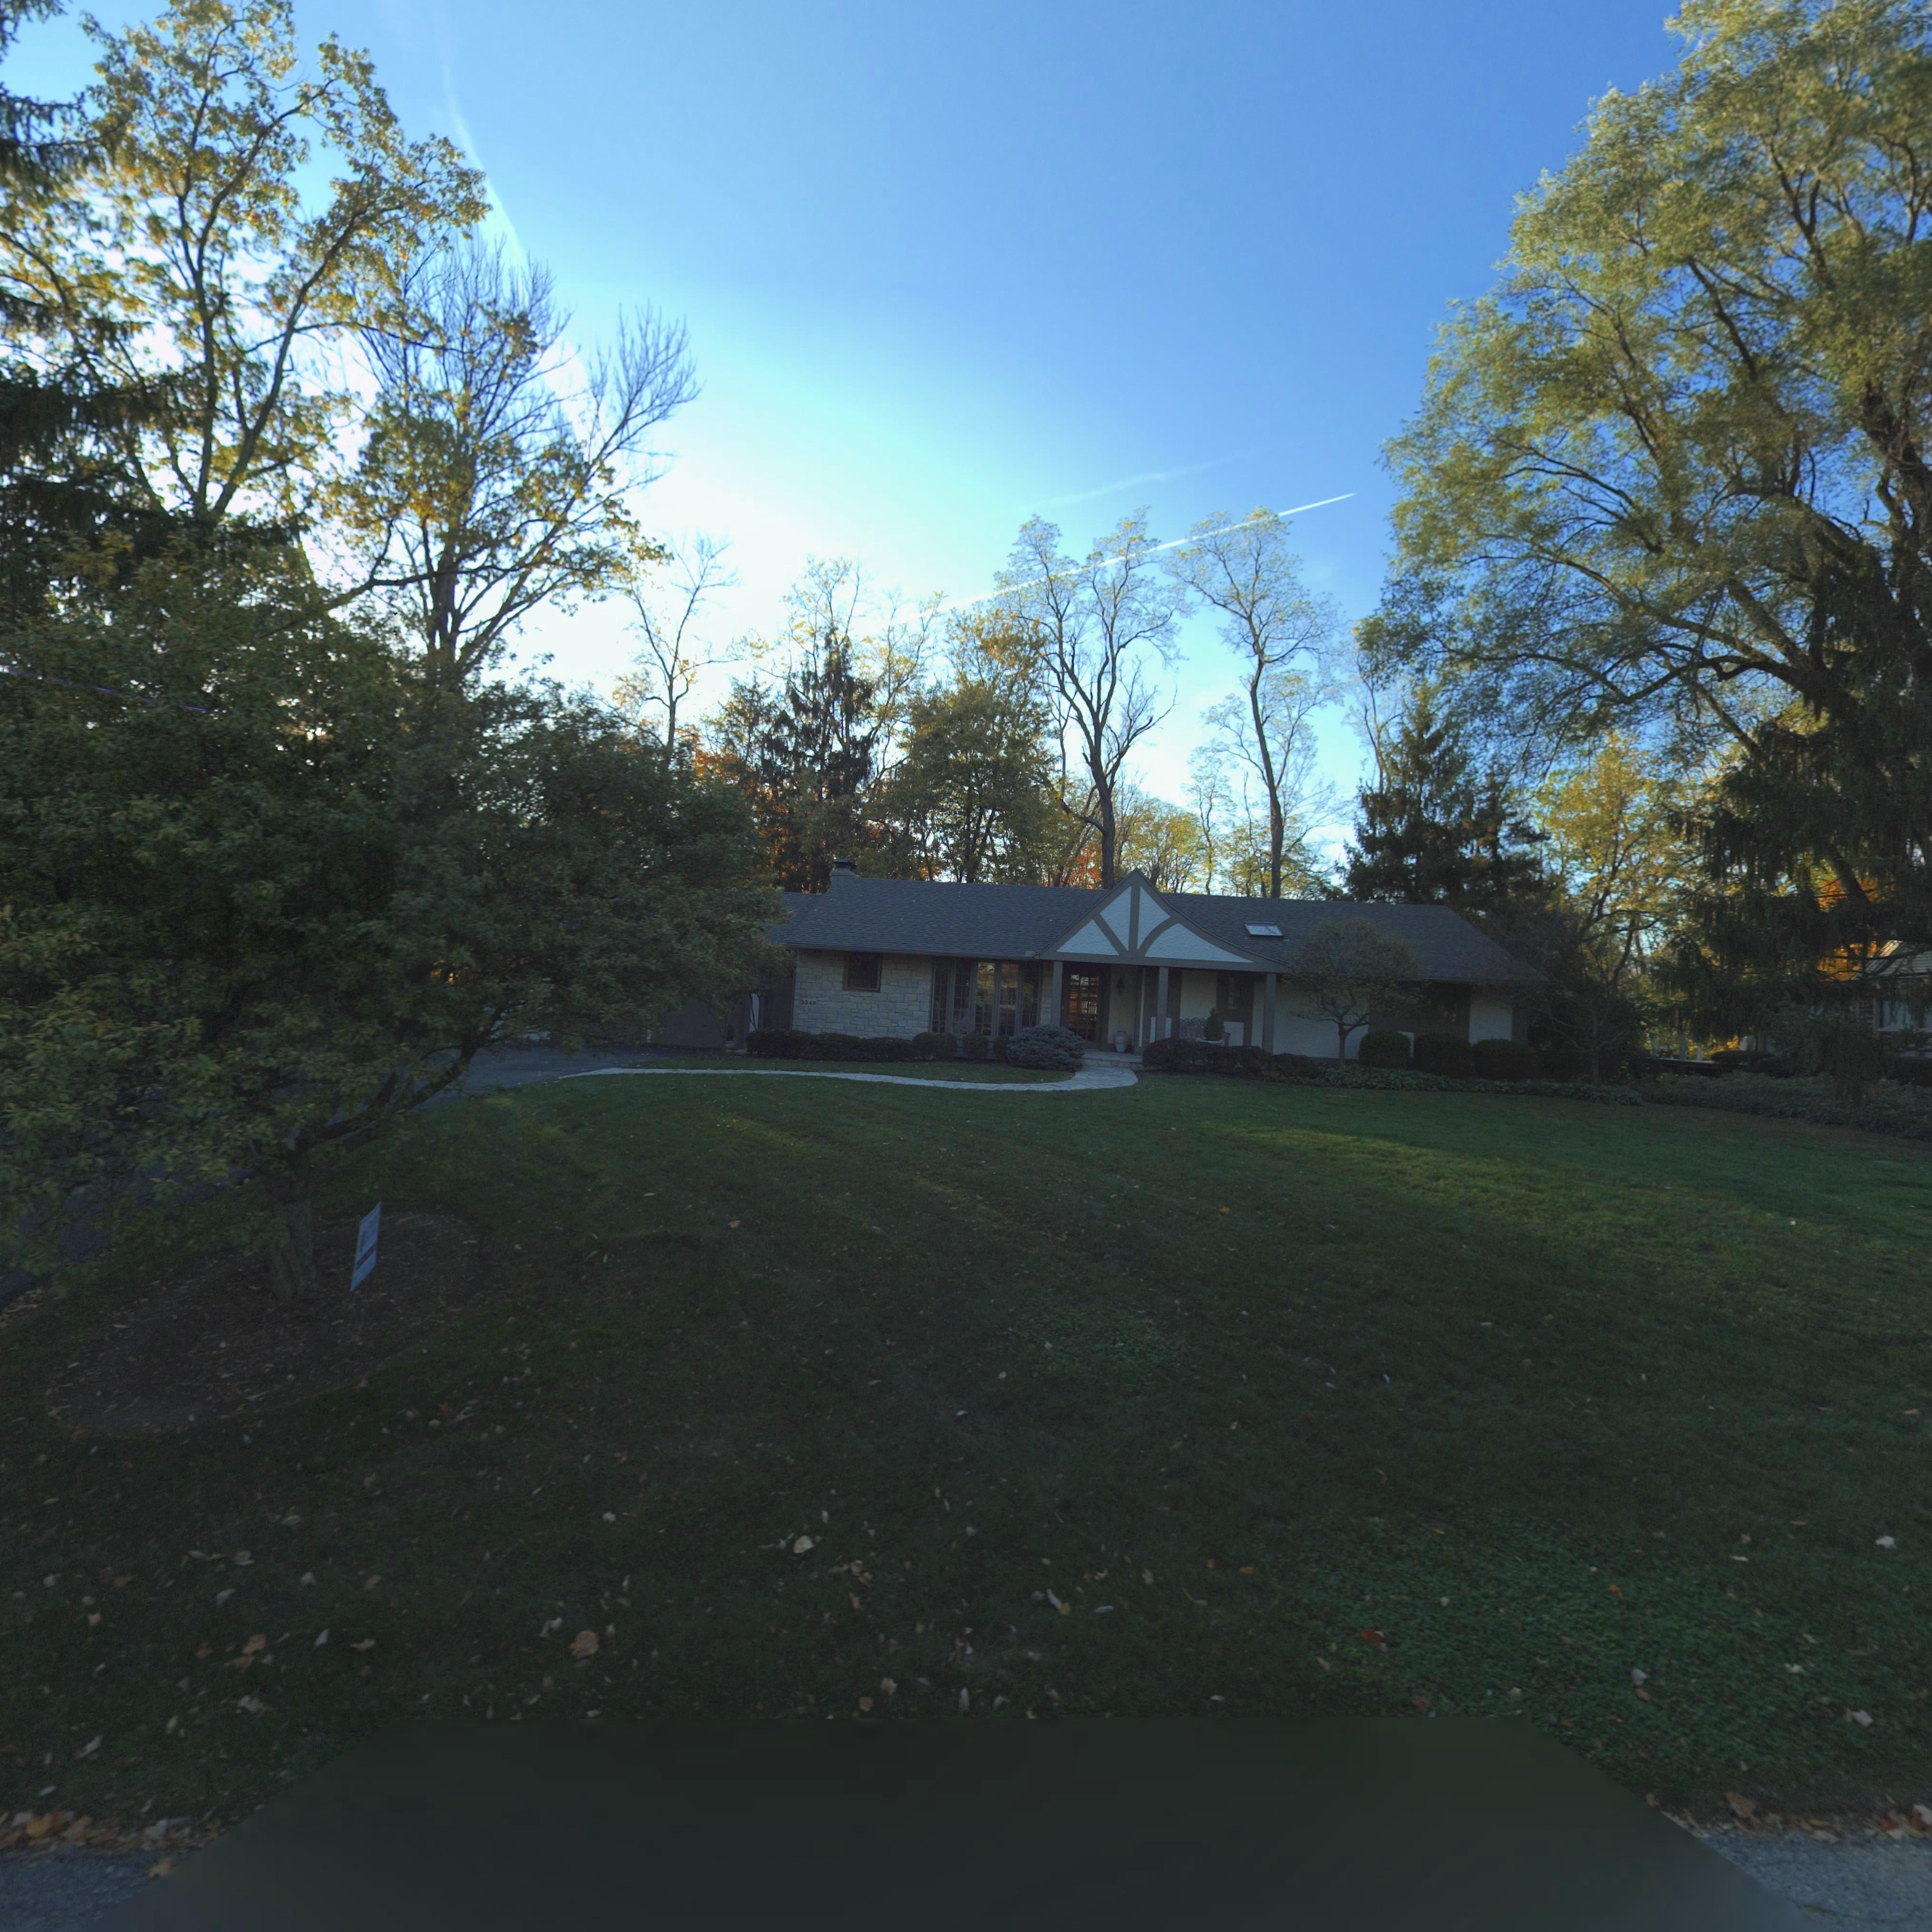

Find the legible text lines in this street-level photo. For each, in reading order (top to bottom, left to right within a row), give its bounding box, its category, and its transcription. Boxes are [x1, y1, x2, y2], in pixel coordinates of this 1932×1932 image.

[800, 999, 816, 1006] StreetNumber: 3340